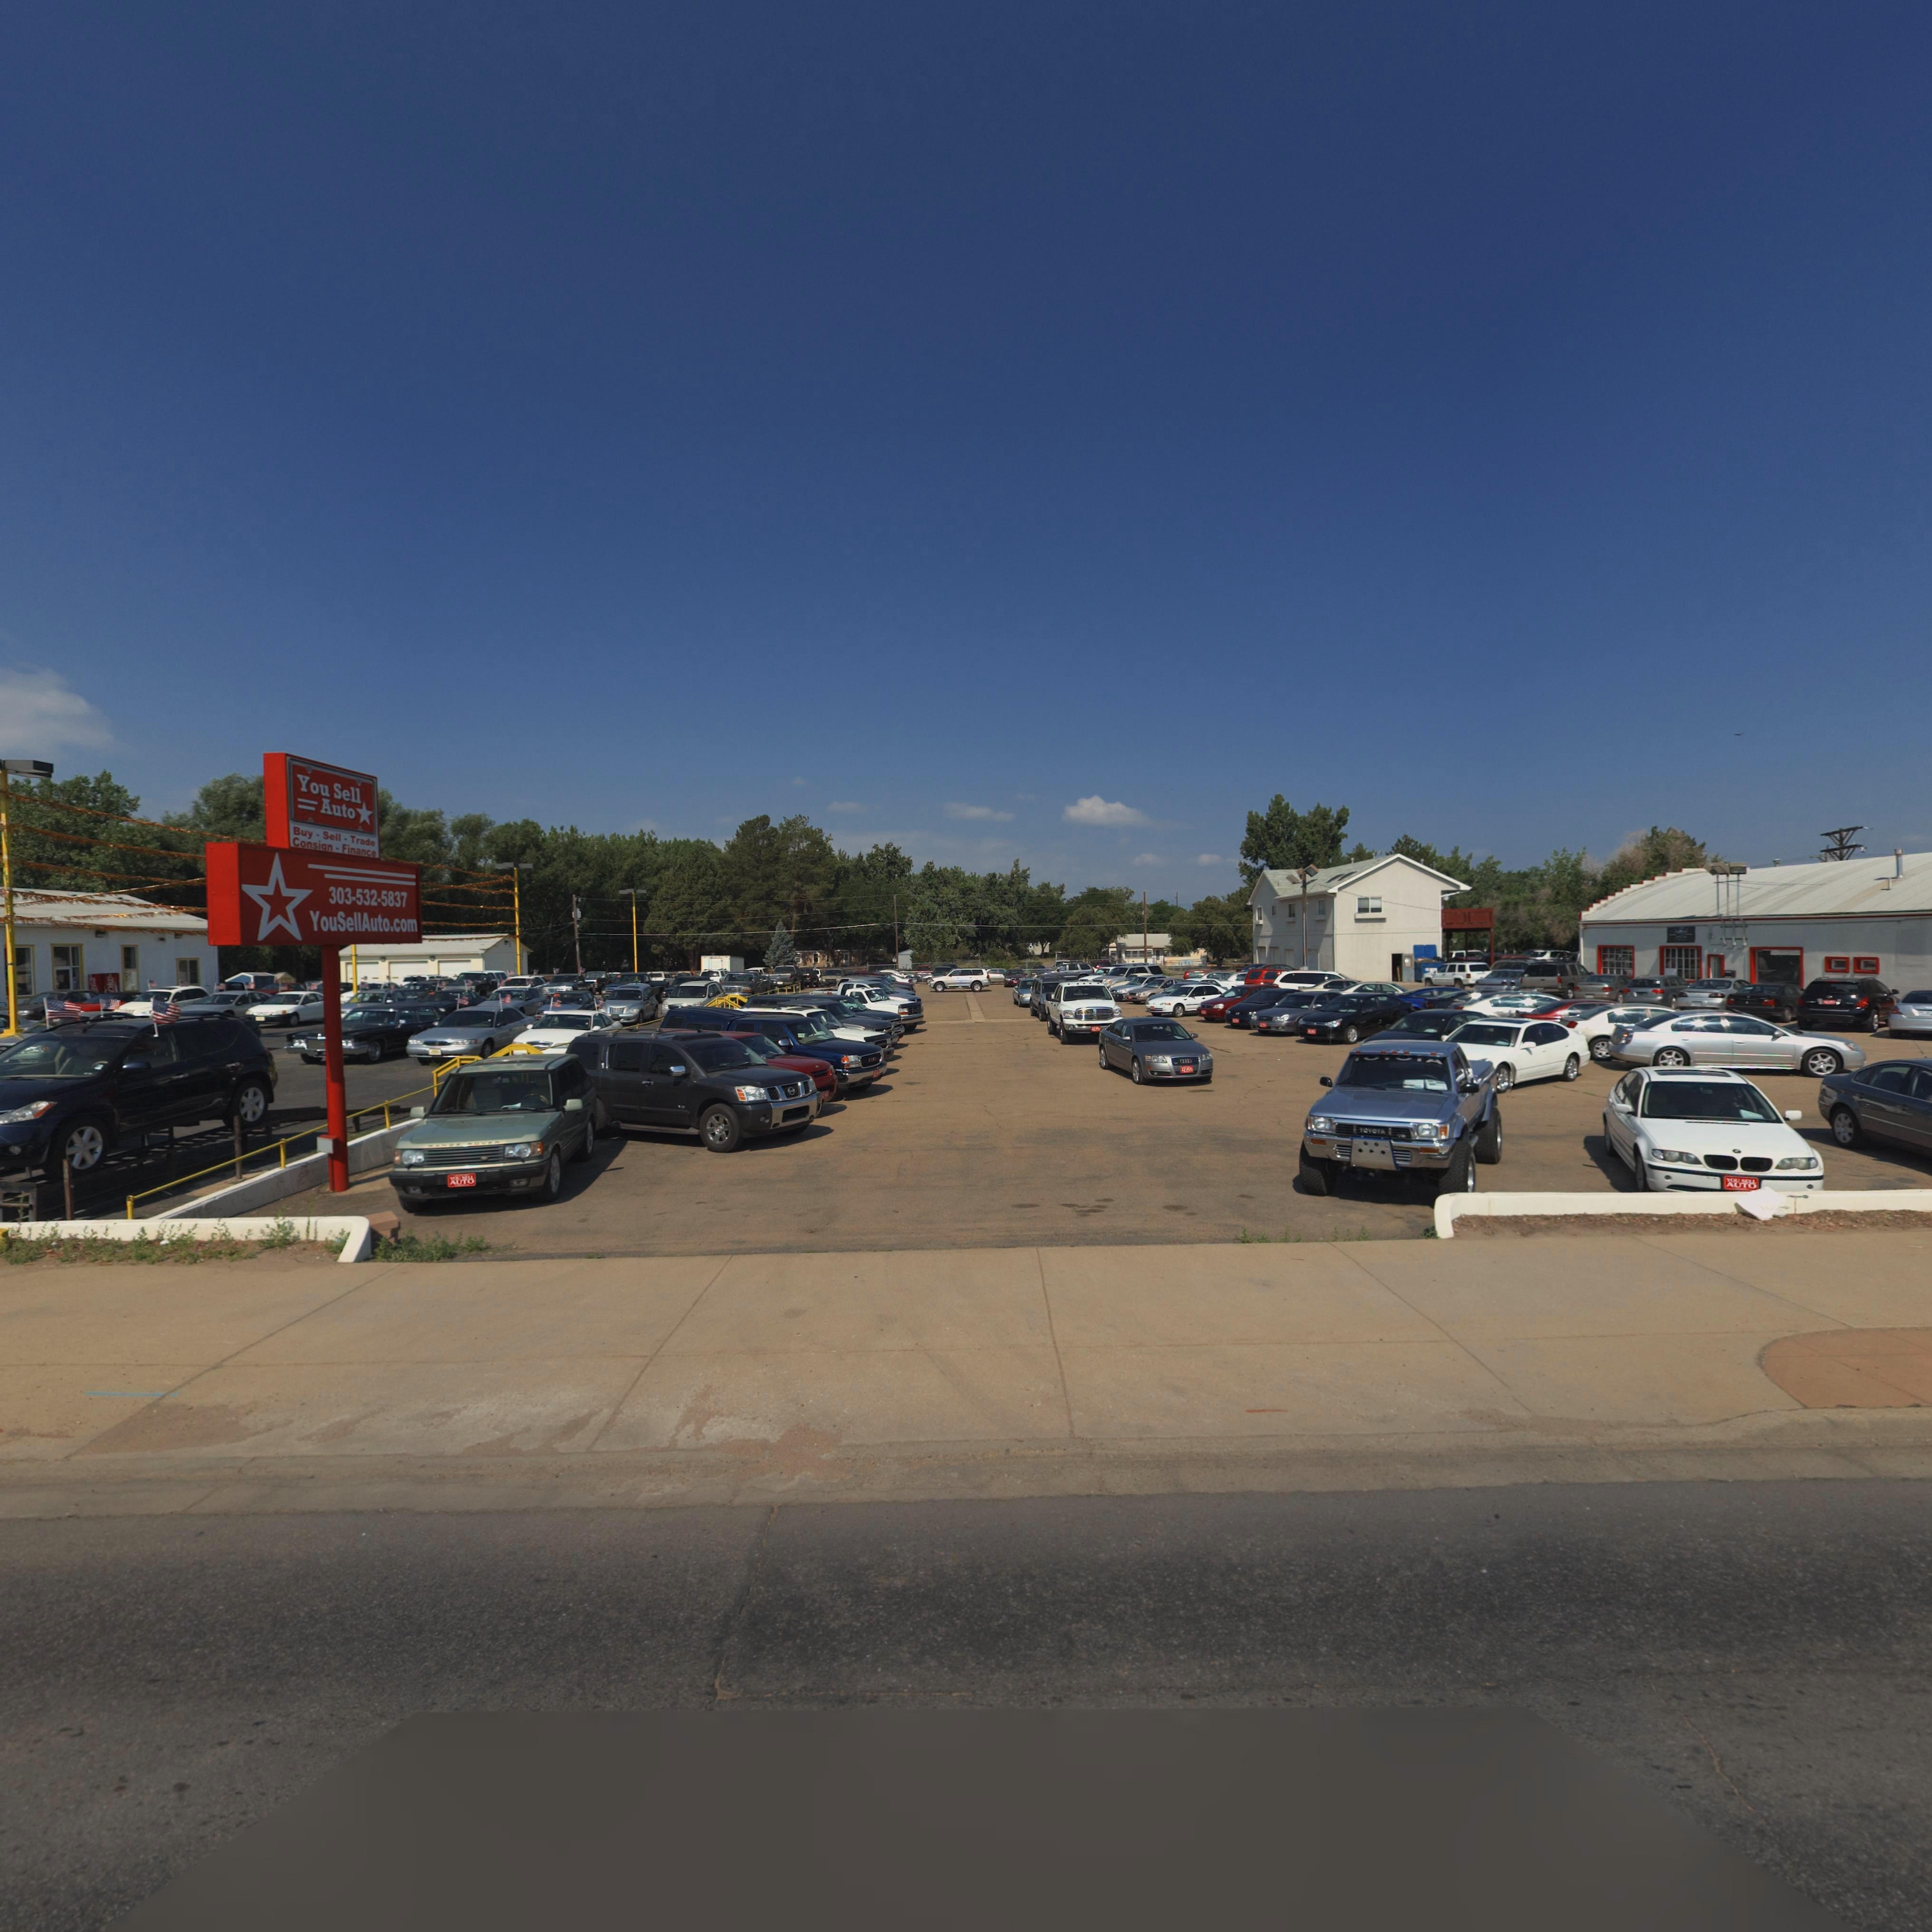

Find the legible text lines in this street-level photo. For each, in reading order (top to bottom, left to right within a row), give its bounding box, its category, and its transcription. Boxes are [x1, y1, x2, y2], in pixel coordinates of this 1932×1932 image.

[296, 773, 361, 804] BusinessName: You Sell
[320, 798, 356, 819] BusinessName: Auto